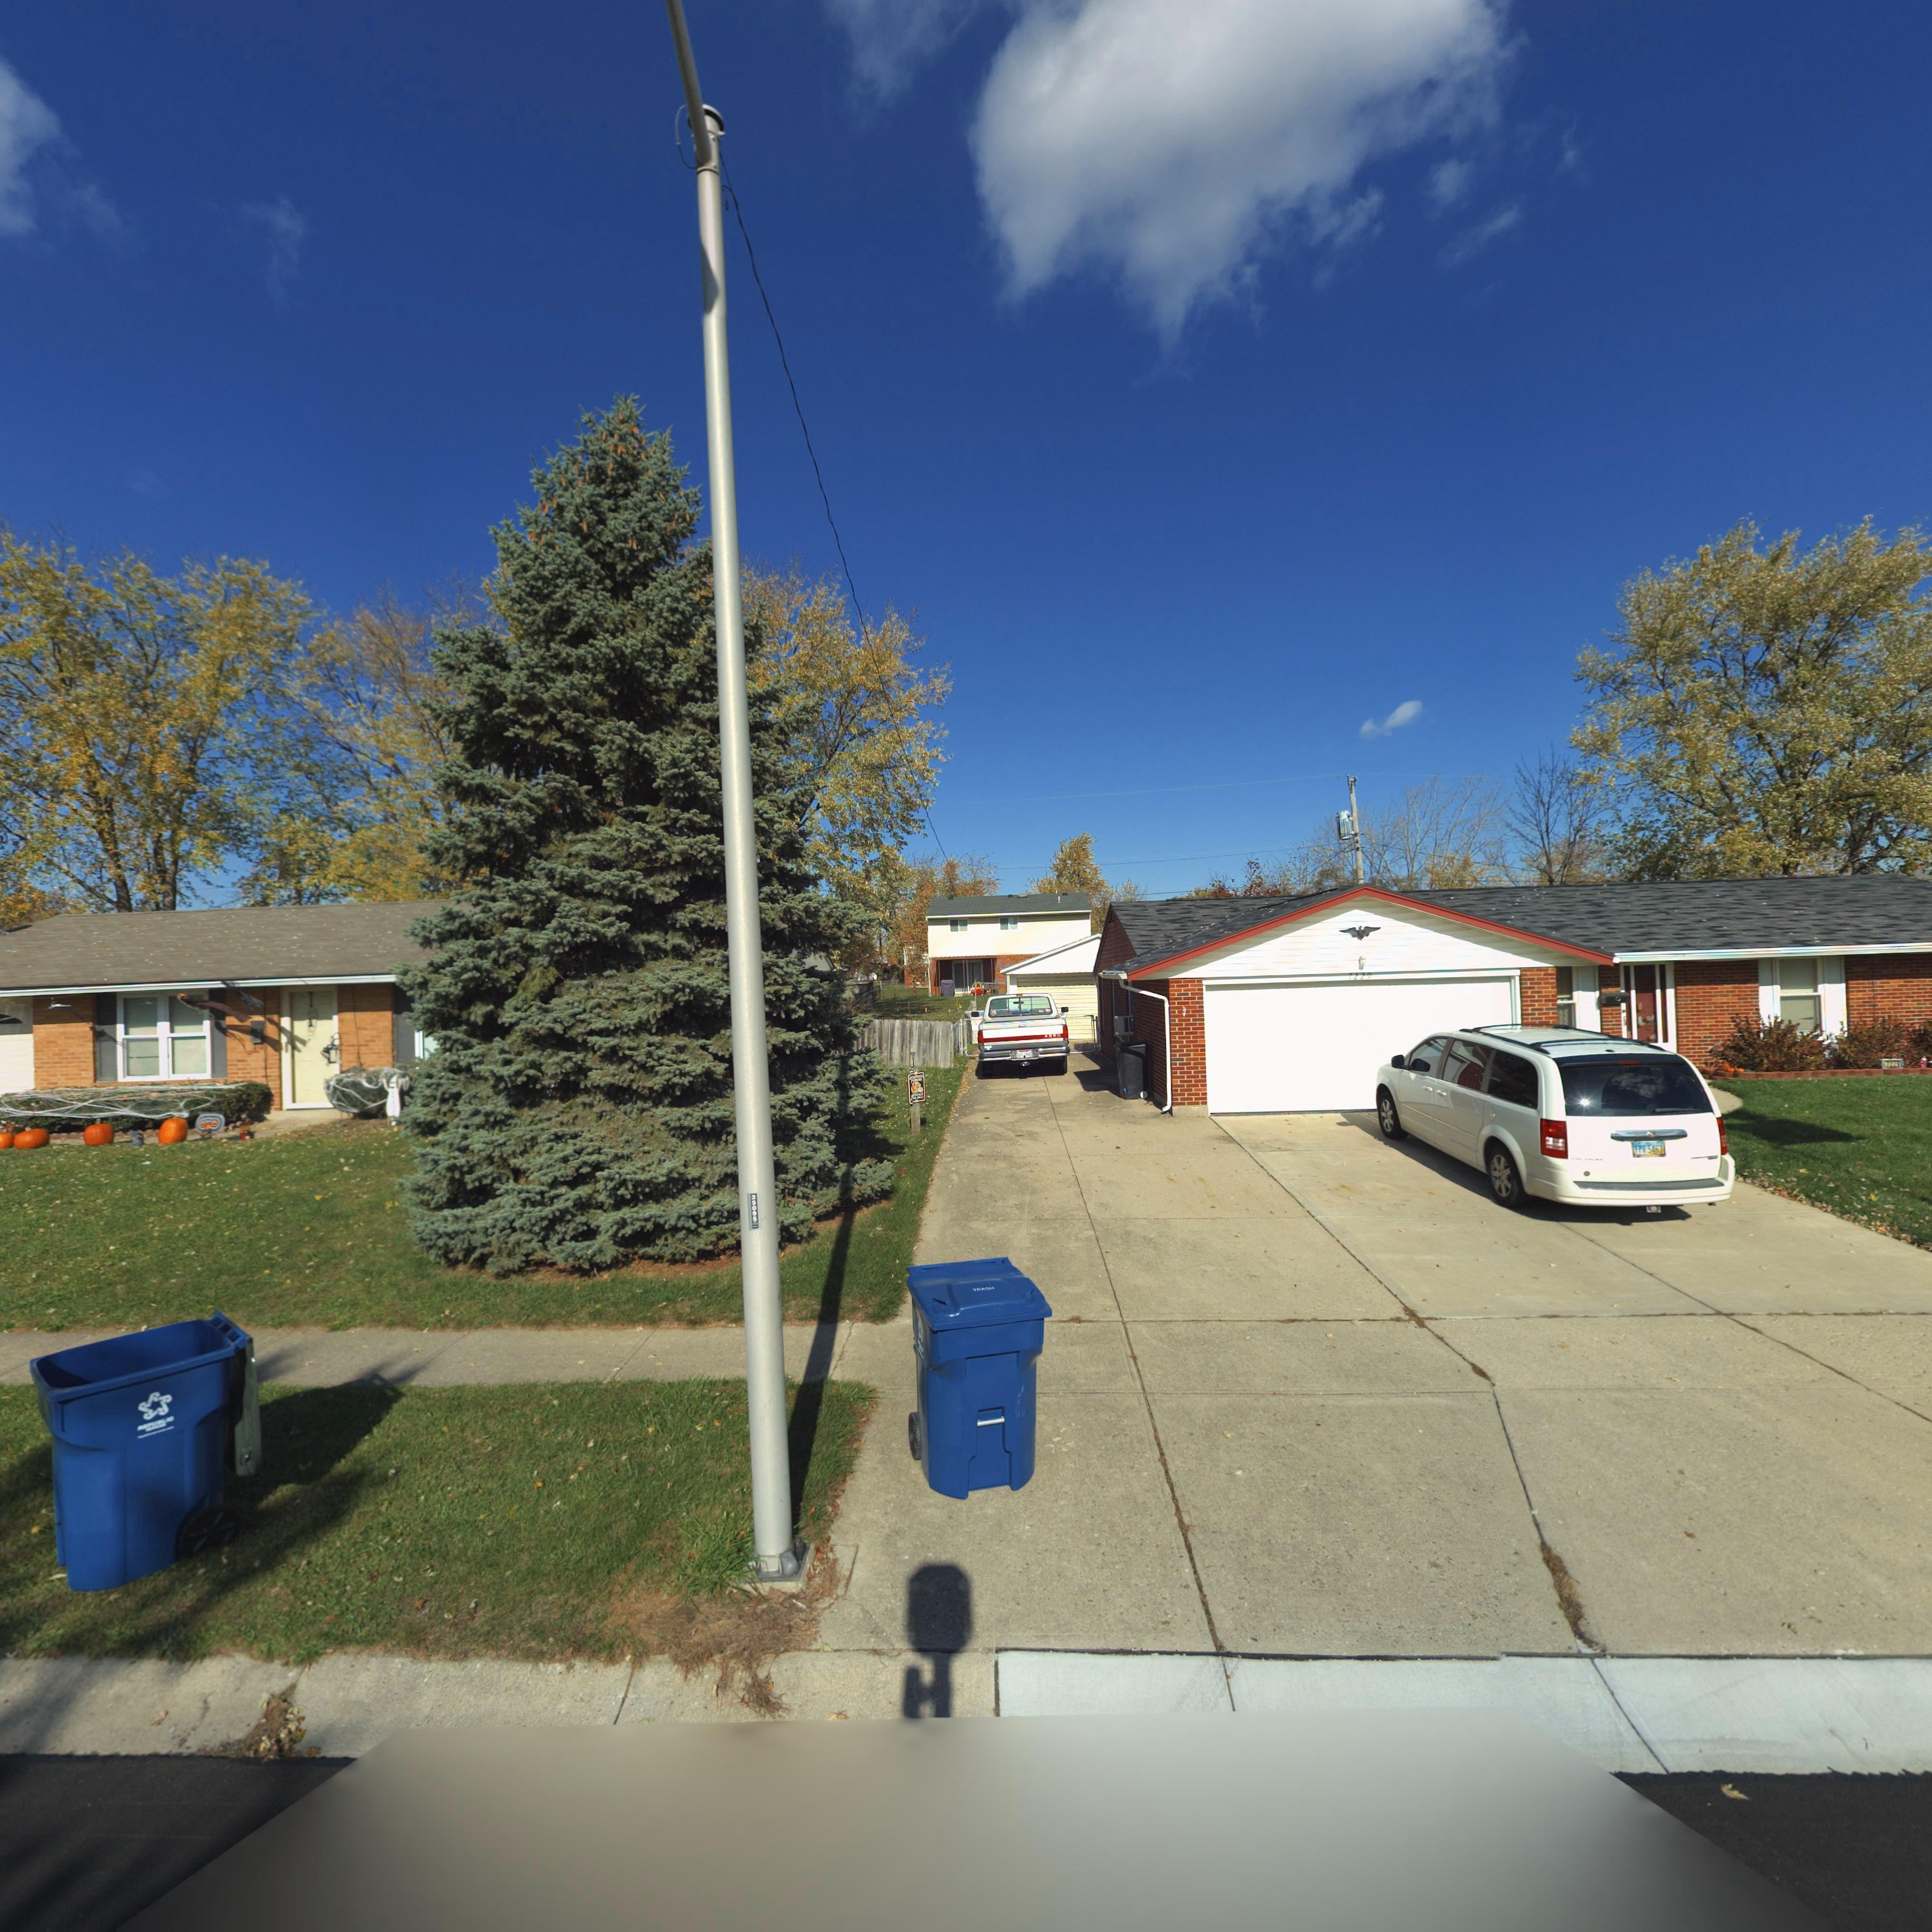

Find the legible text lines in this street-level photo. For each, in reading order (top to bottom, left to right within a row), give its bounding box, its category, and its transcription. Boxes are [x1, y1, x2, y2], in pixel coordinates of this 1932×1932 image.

[1347, 972, 1373, 980] StreetNumber: 7229